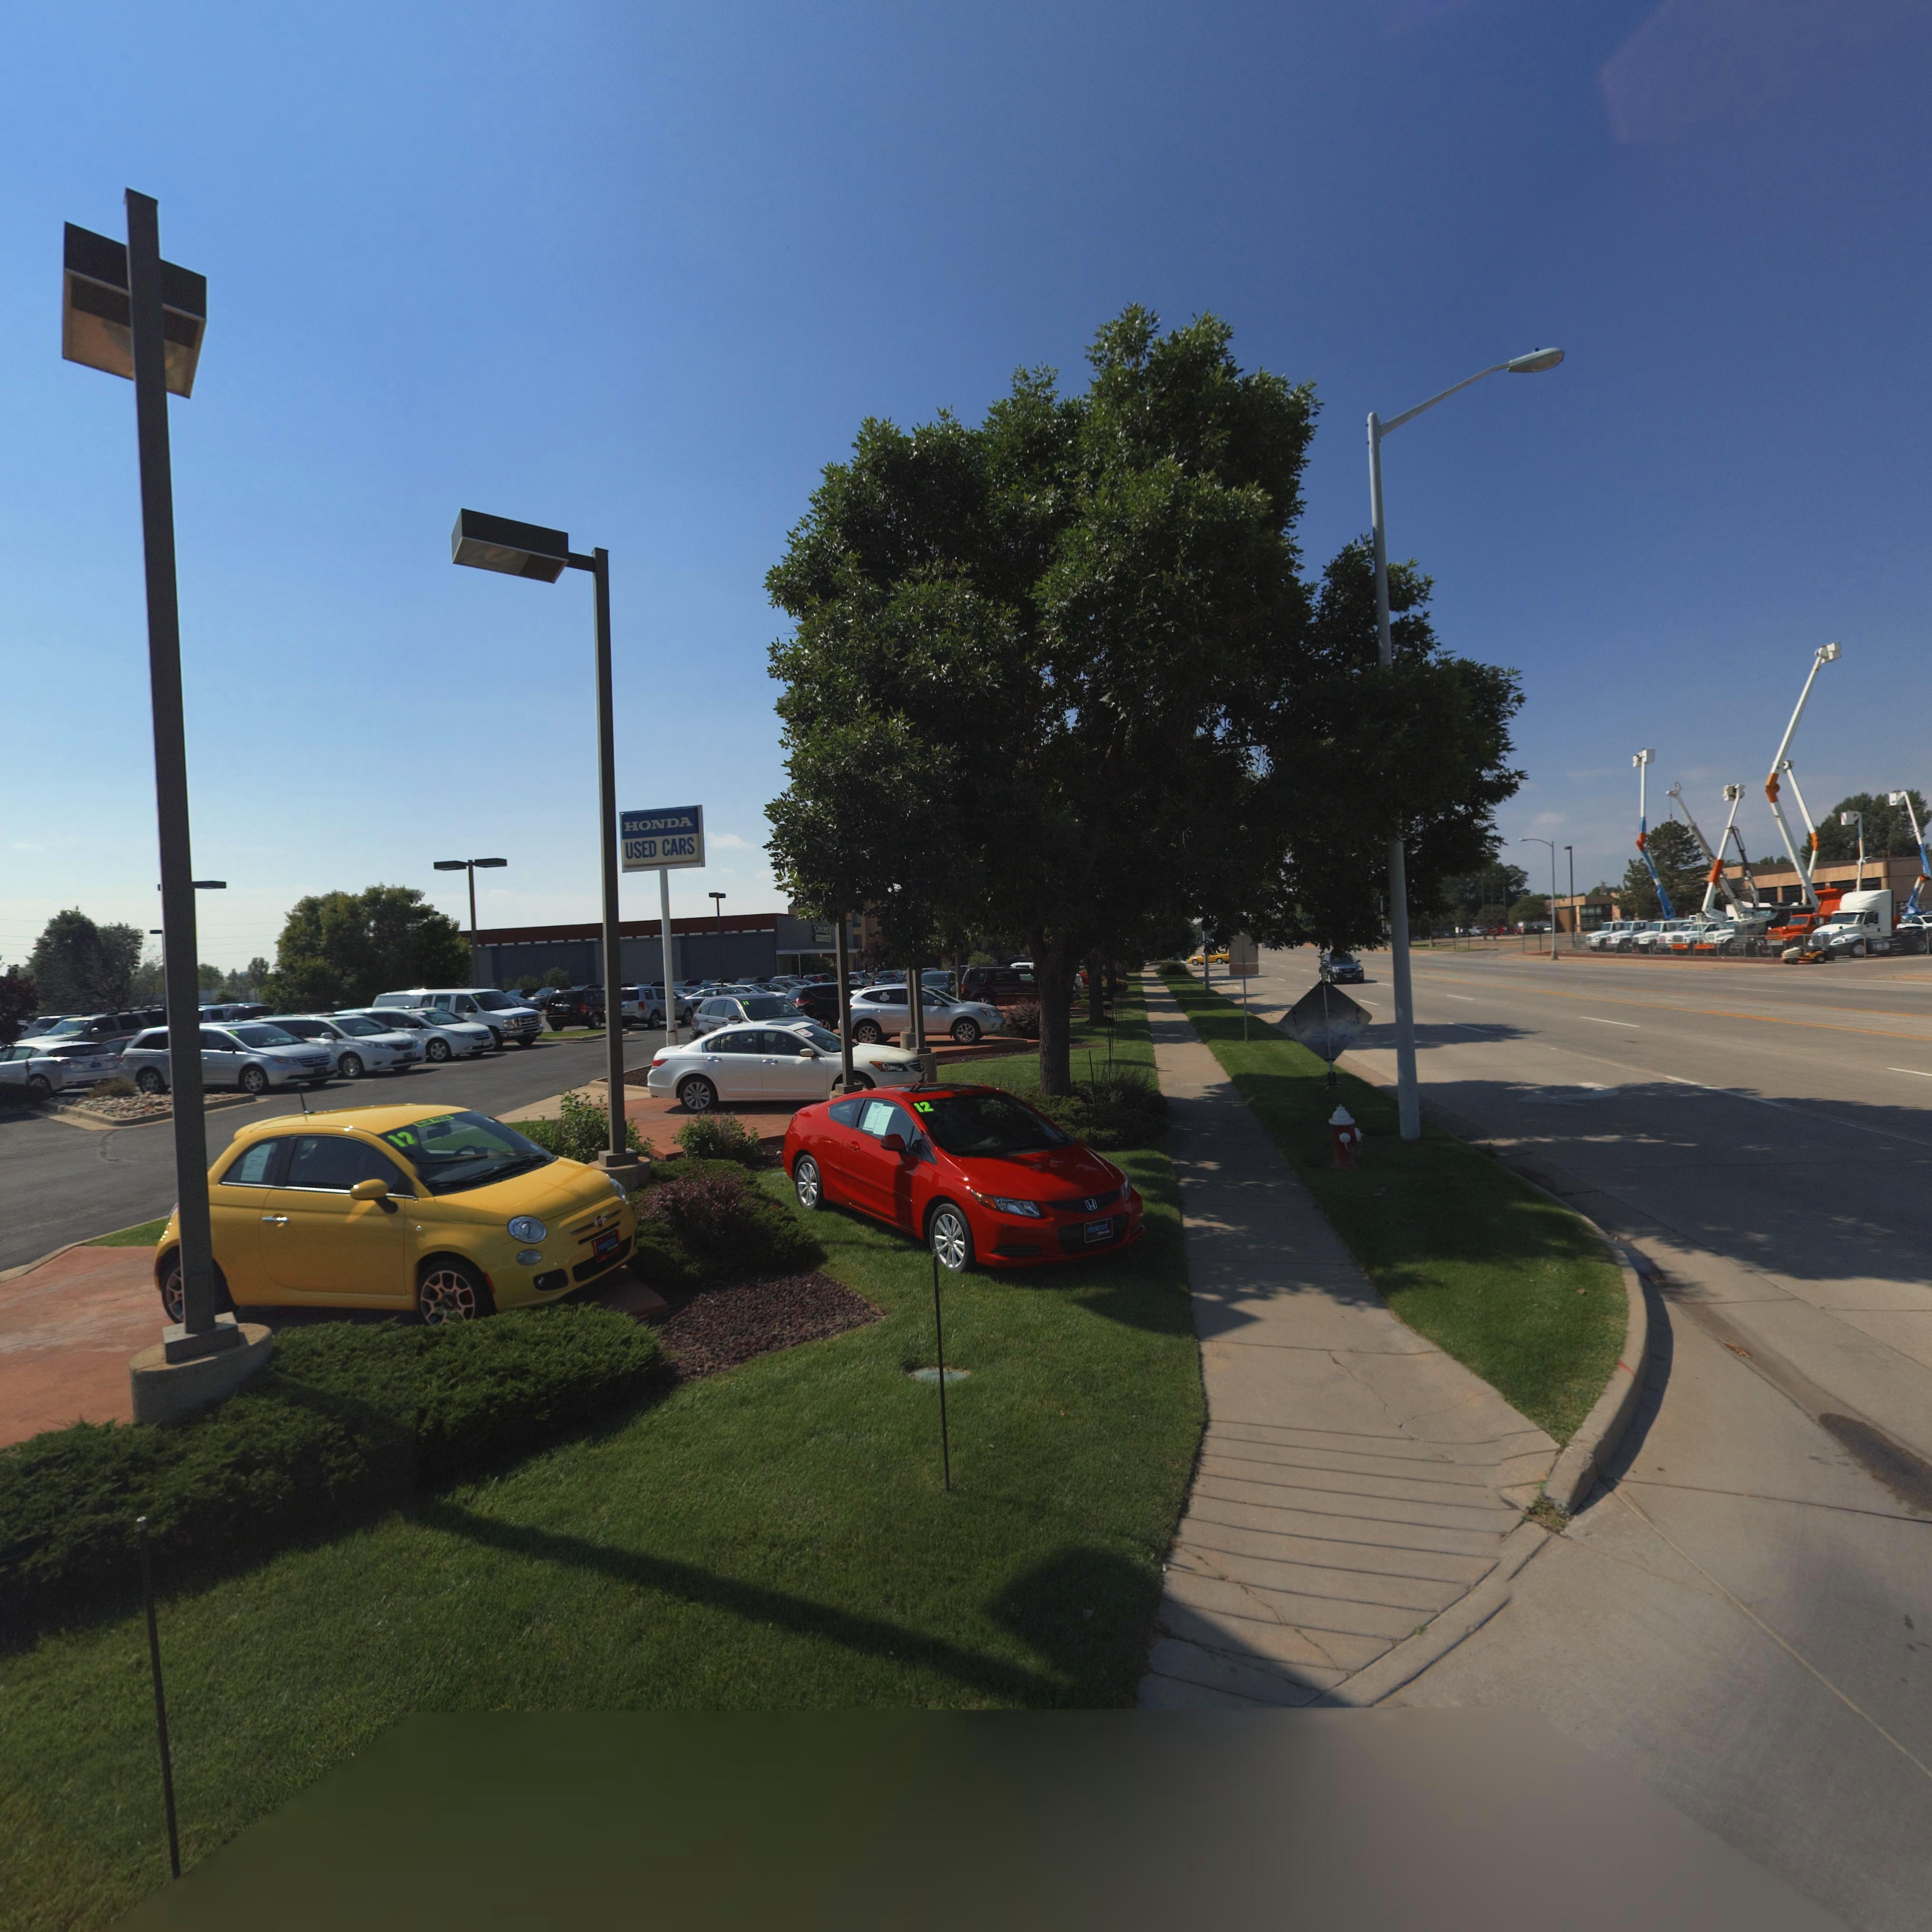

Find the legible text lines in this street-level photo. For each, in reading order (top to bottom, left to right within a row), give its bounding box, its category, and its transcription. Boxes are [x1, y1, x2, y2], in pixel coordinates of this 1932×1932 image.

[623, 816, 695, 832] BusinessName: HONDA
[624, 836, 695, 860] BusinessName: USED CARS